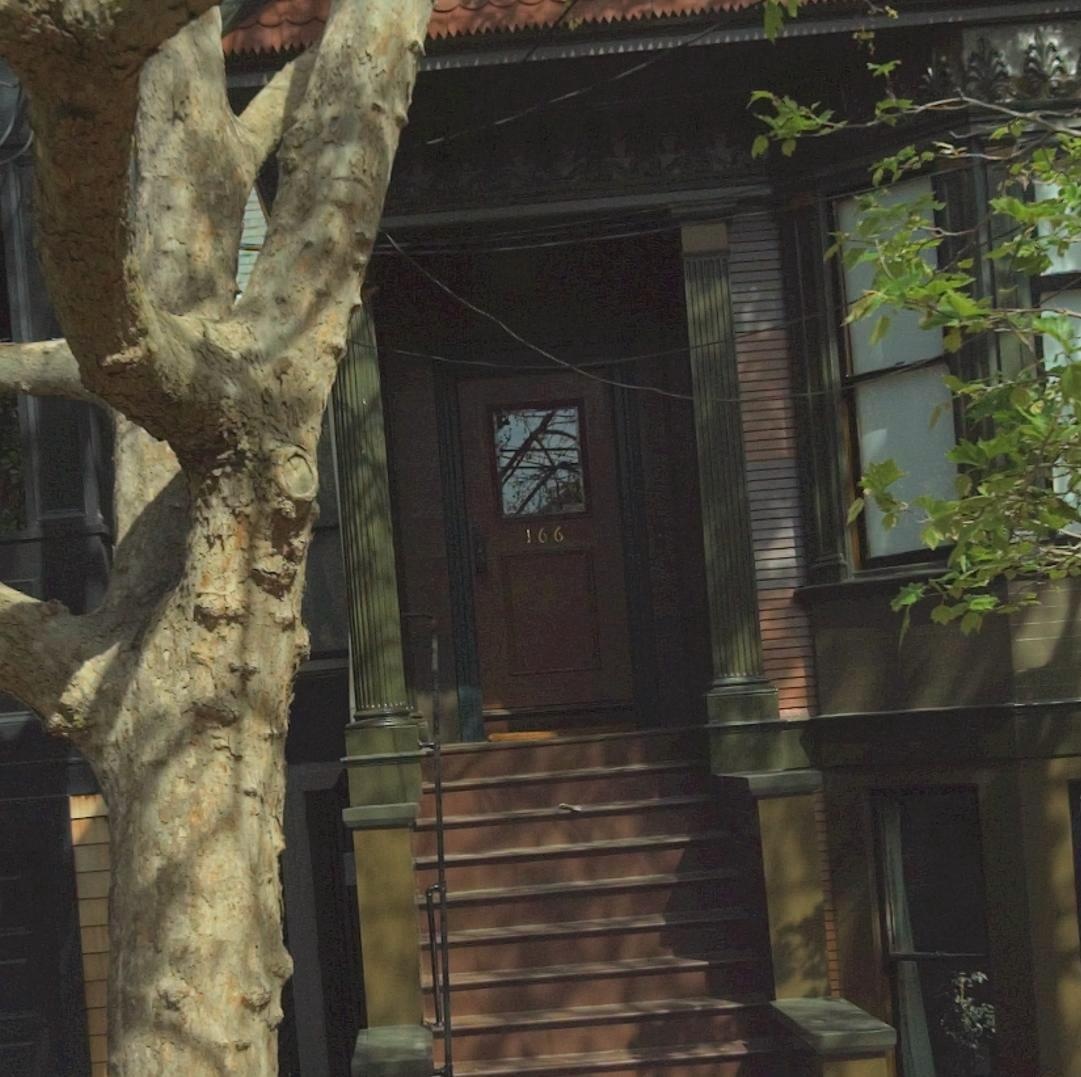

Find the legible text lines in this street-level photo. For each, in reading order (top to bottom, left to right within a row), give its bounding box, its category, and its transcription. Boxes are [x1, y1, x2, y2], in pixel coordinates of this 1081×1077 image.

[522, 524, 566, 545] StreetNumber: 166